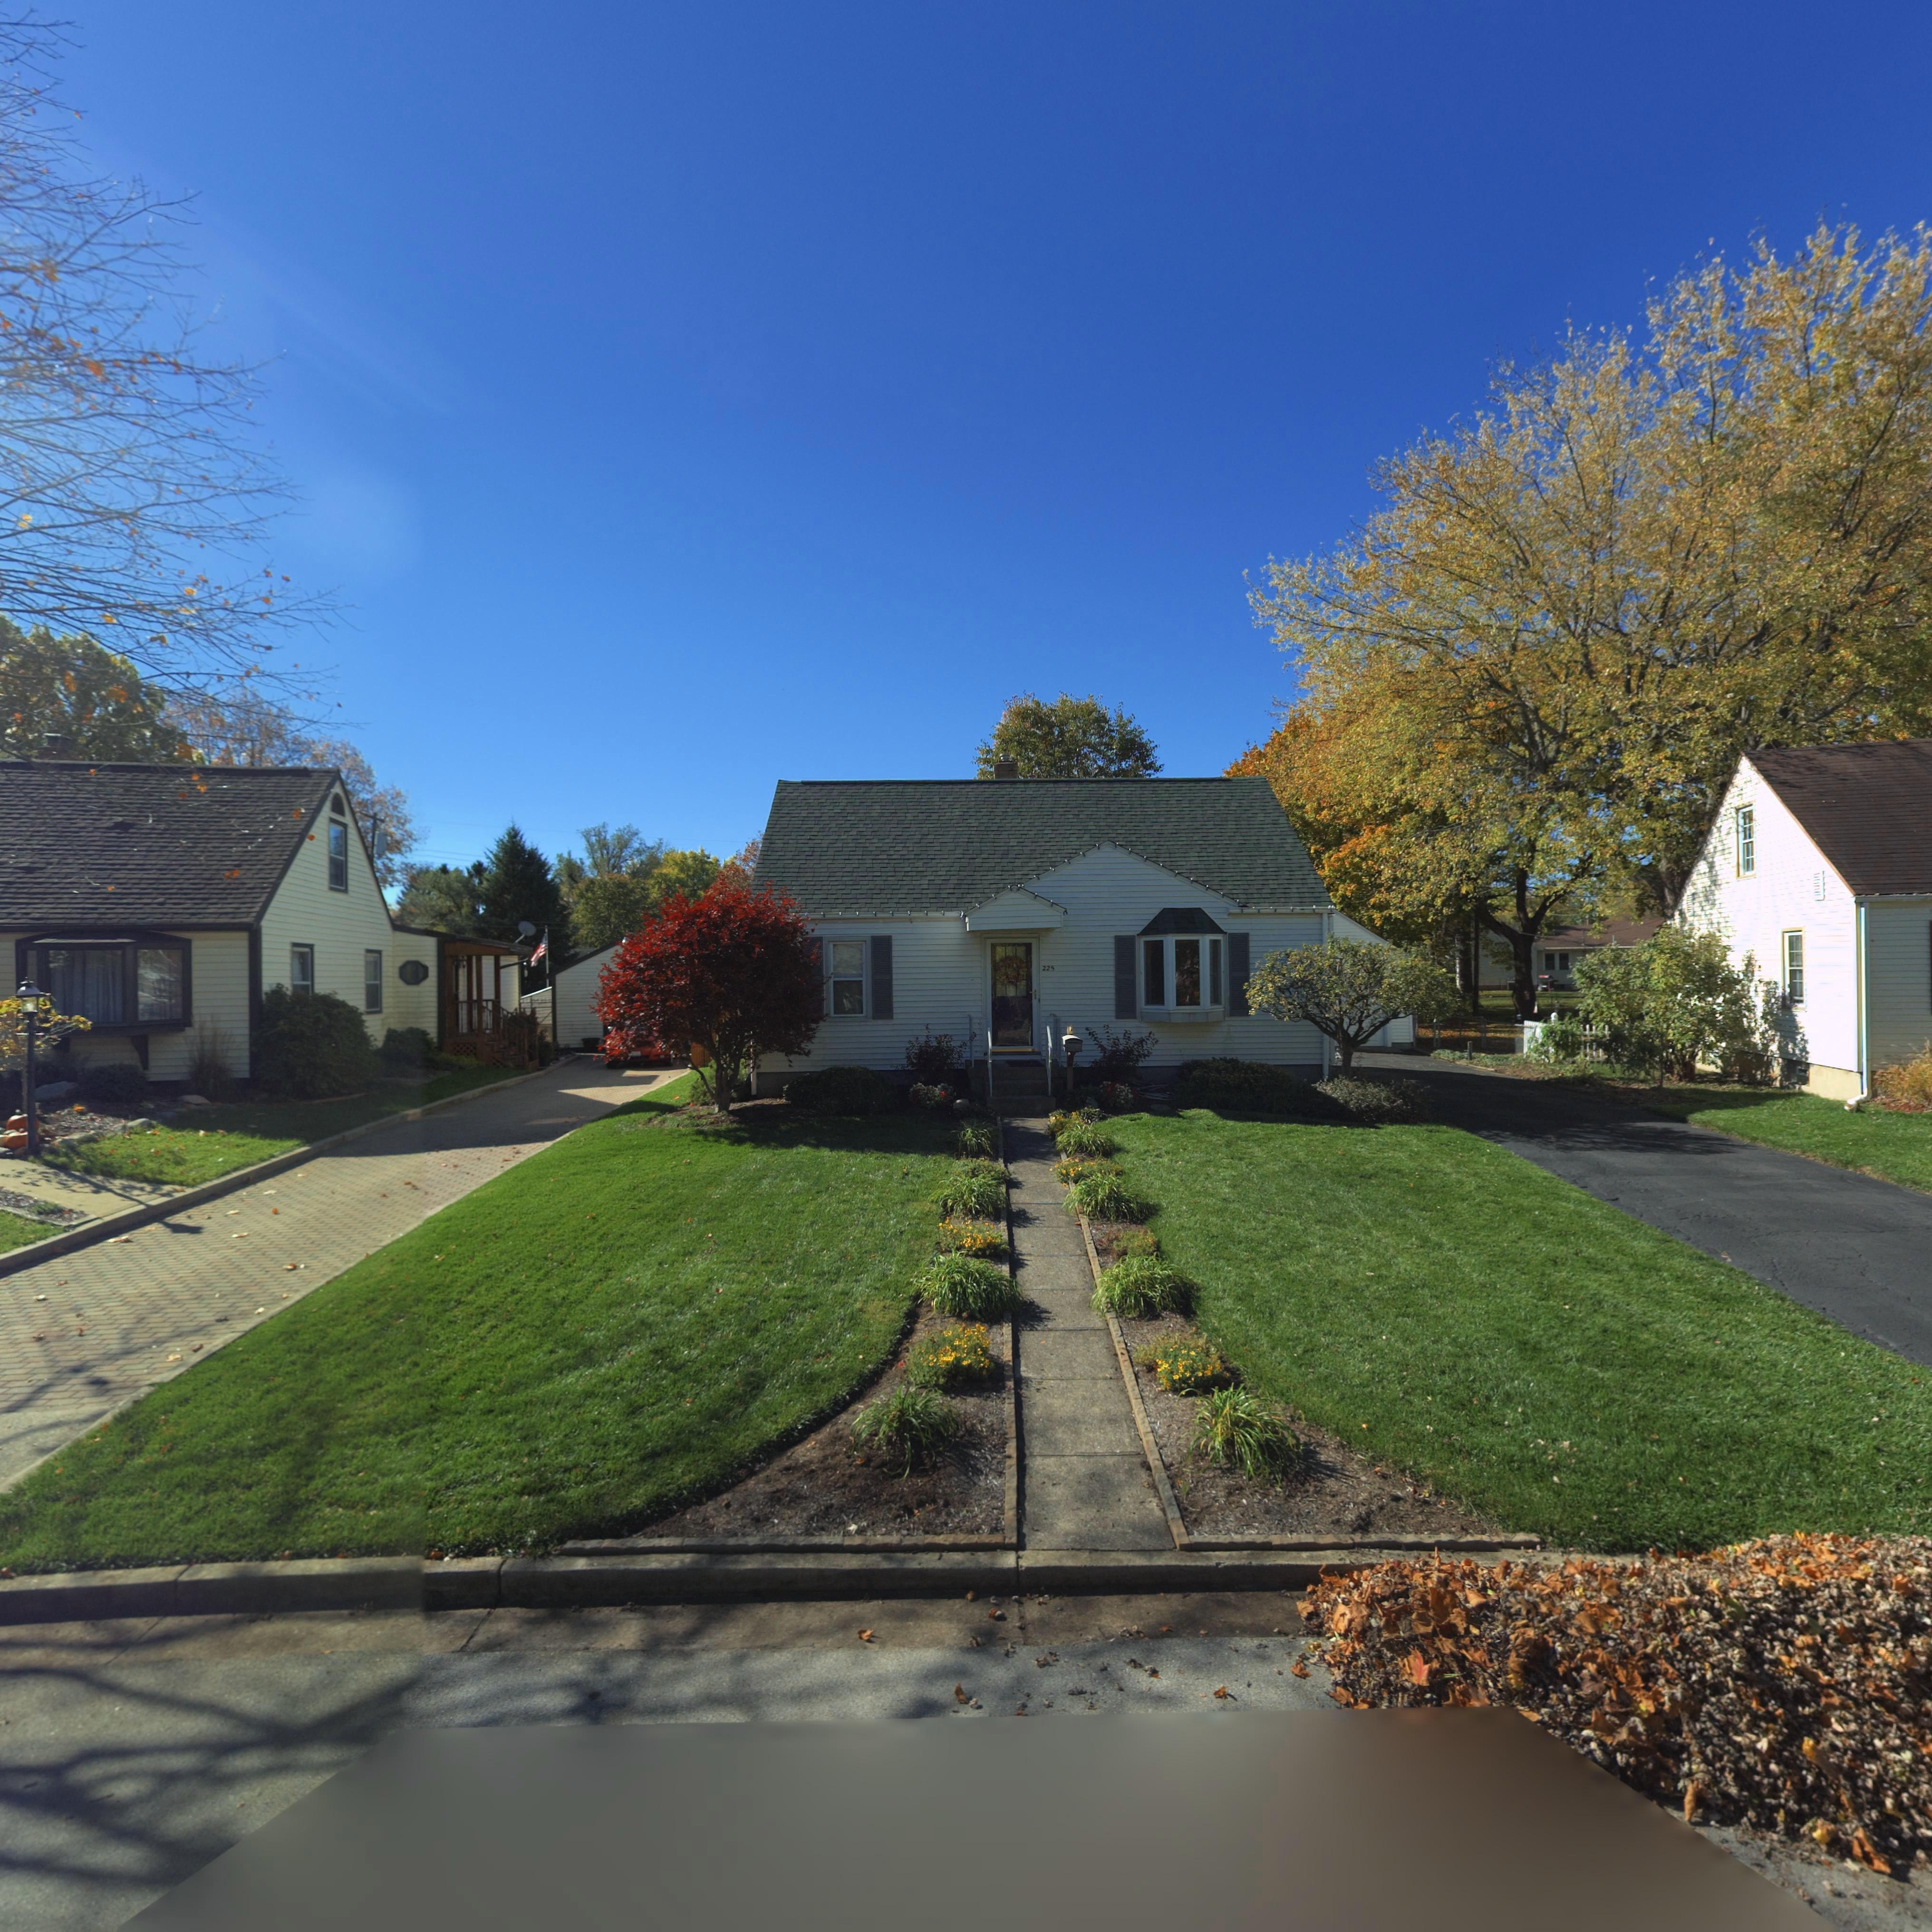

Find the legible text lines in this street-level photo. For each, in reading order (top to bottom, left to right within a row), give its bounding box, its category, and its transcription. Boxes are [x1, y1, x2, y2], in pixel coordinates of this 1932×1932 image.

[1042, 965, 1056, 972] StreetNumber: 225